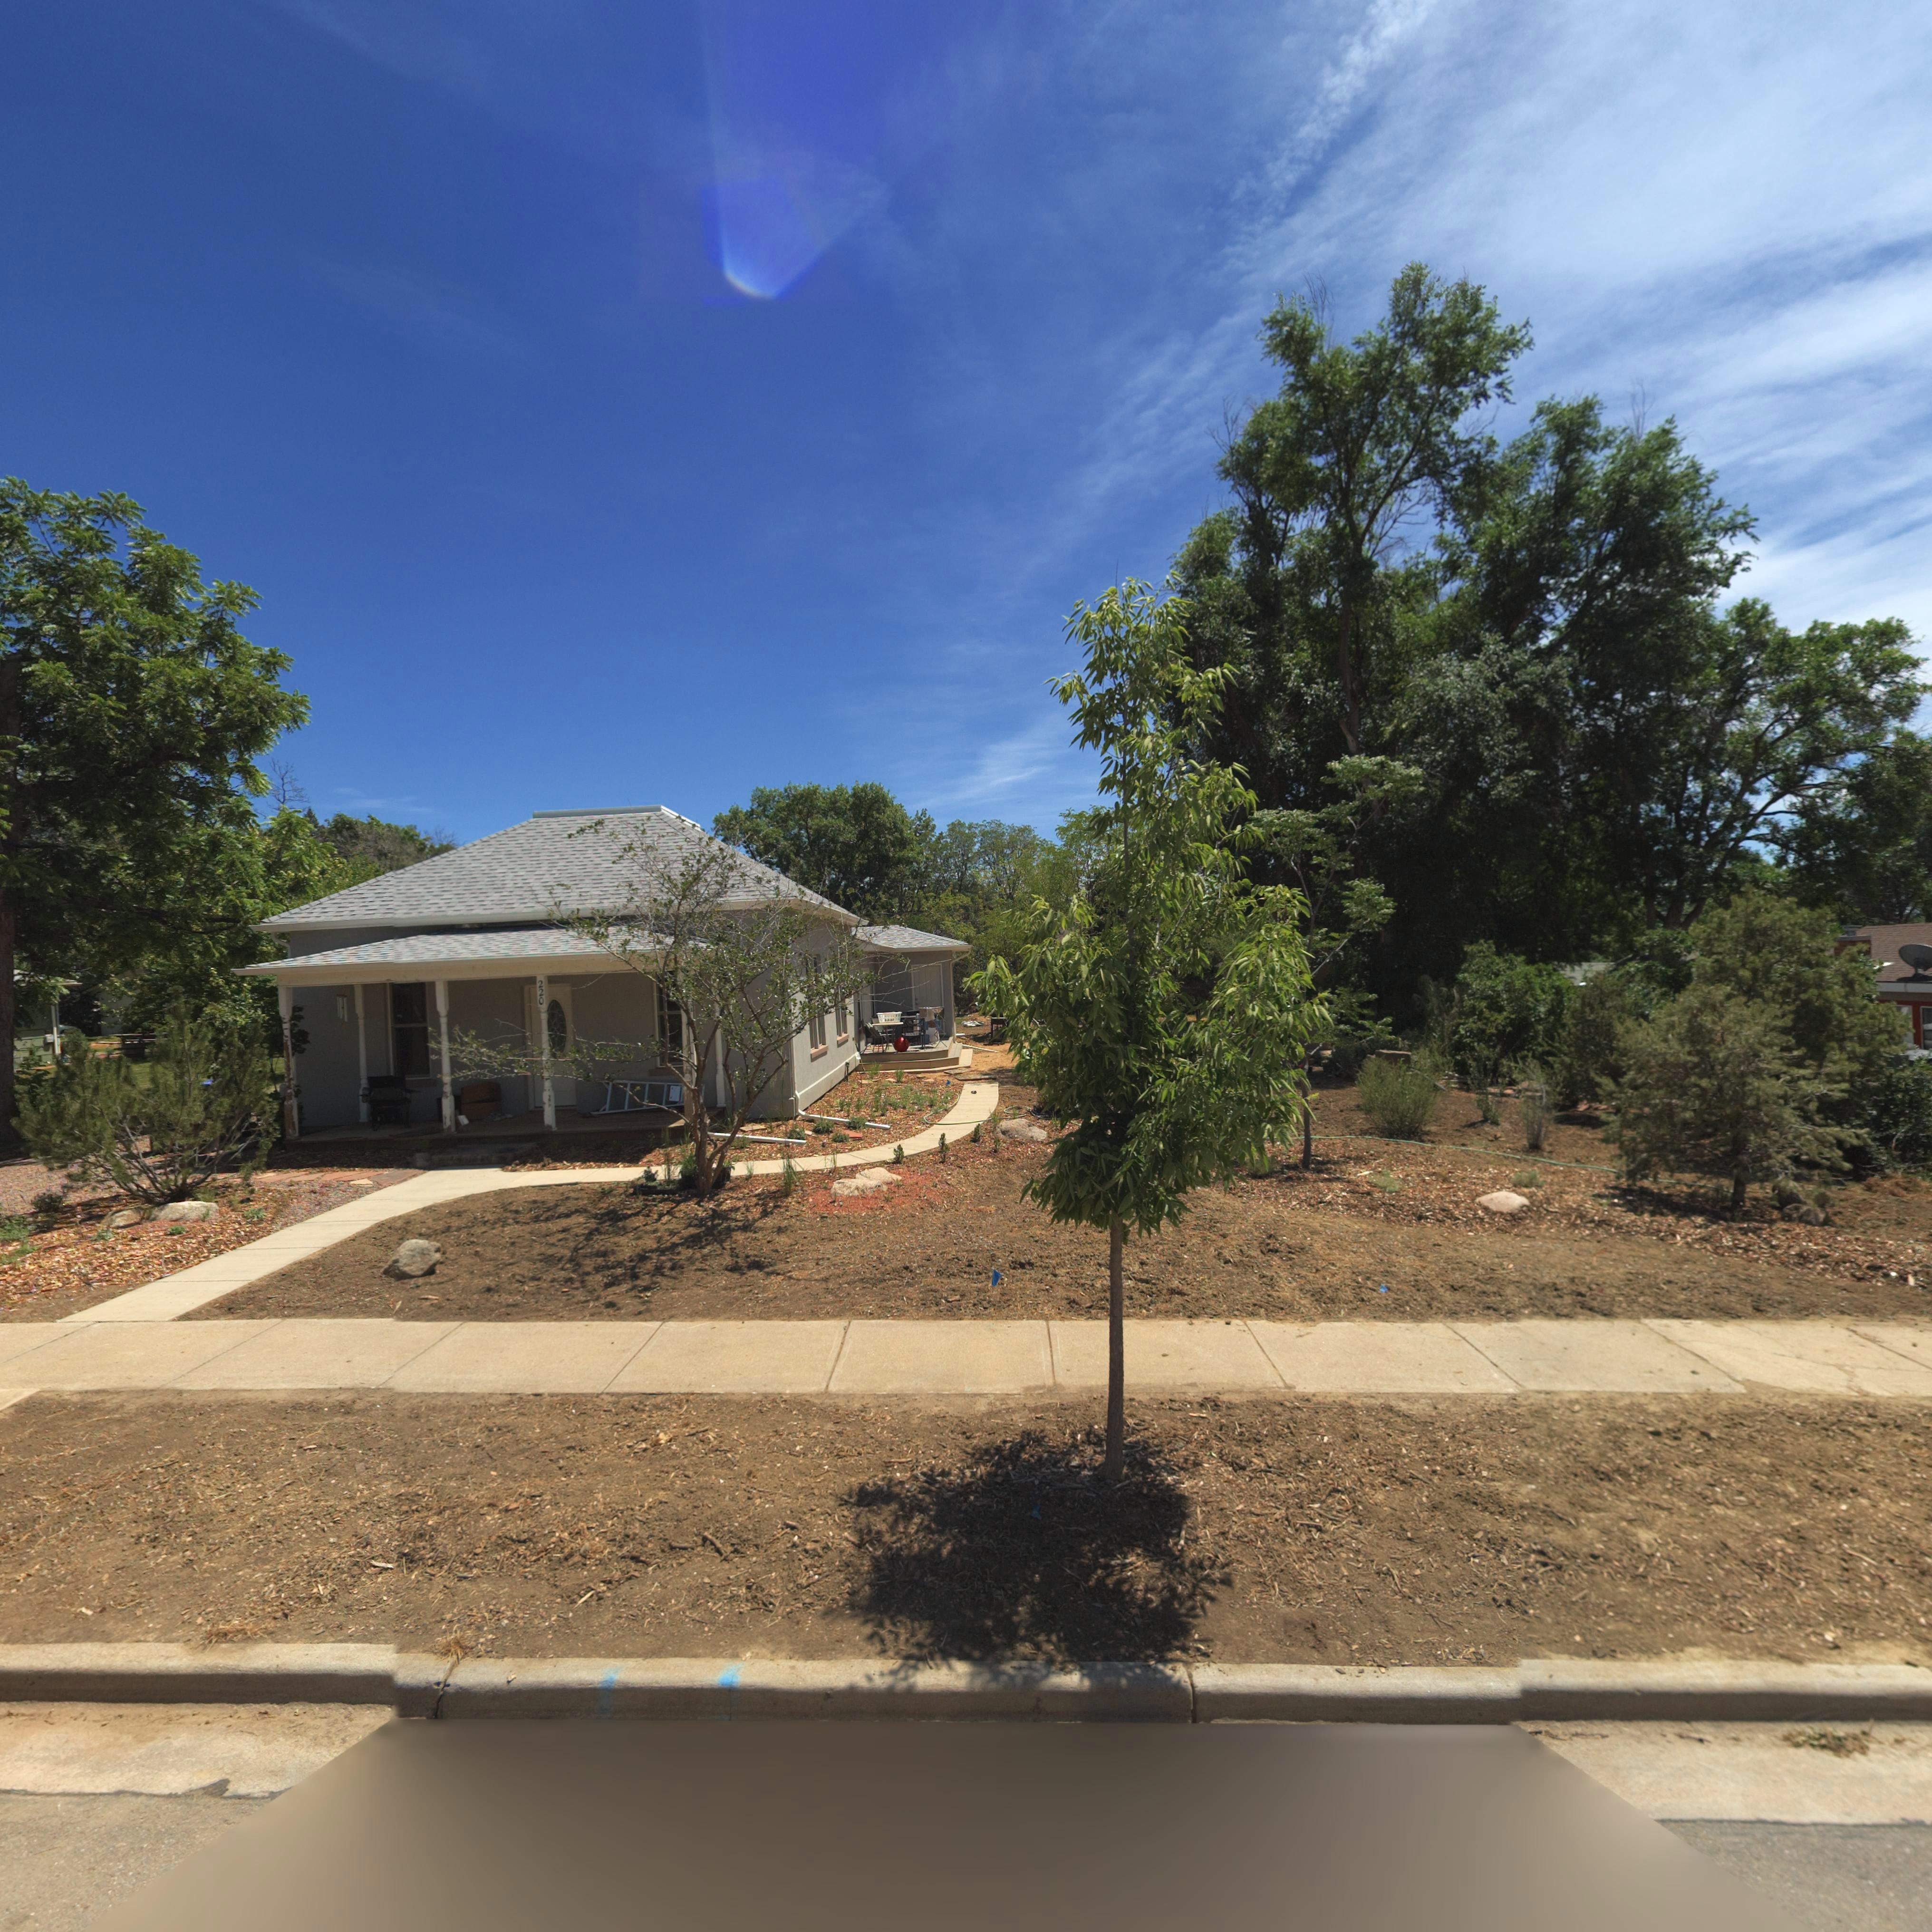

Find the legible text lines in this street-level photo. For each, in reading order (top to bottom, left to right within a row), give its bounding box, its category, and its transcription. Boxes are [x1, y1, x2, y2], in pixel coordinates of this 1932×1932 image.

[537, 980, 544, 1005] StreetNumber: 220